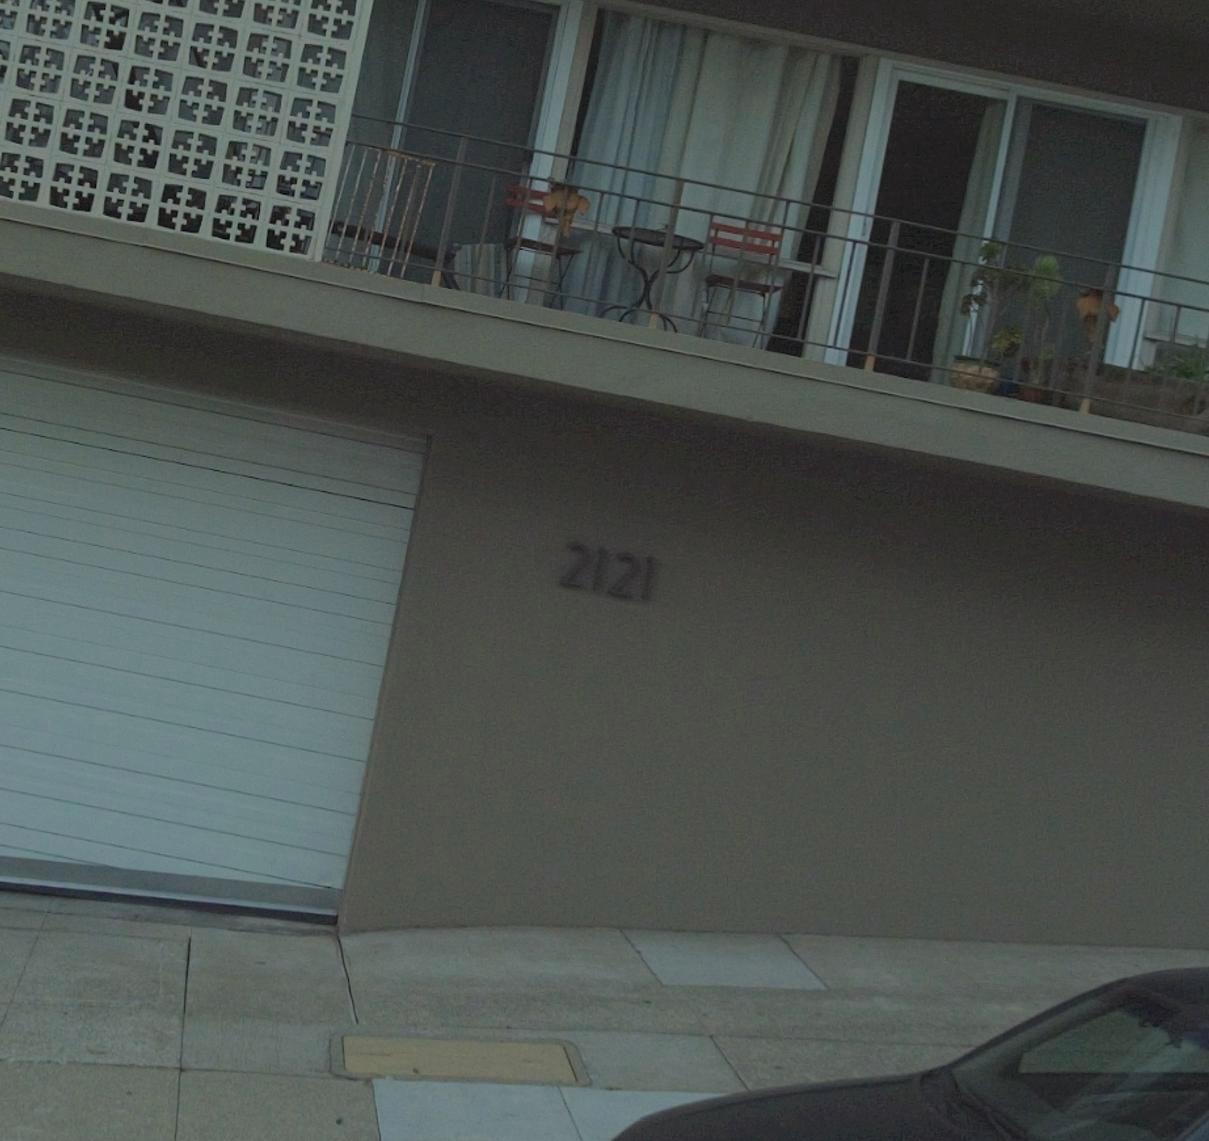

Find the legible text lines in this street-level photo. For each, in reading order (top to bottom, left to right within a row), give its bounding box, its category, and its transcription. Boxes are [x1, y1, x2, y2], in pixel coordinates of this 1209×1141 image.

[555, 535, 660, 606] StreetNumber: 2121